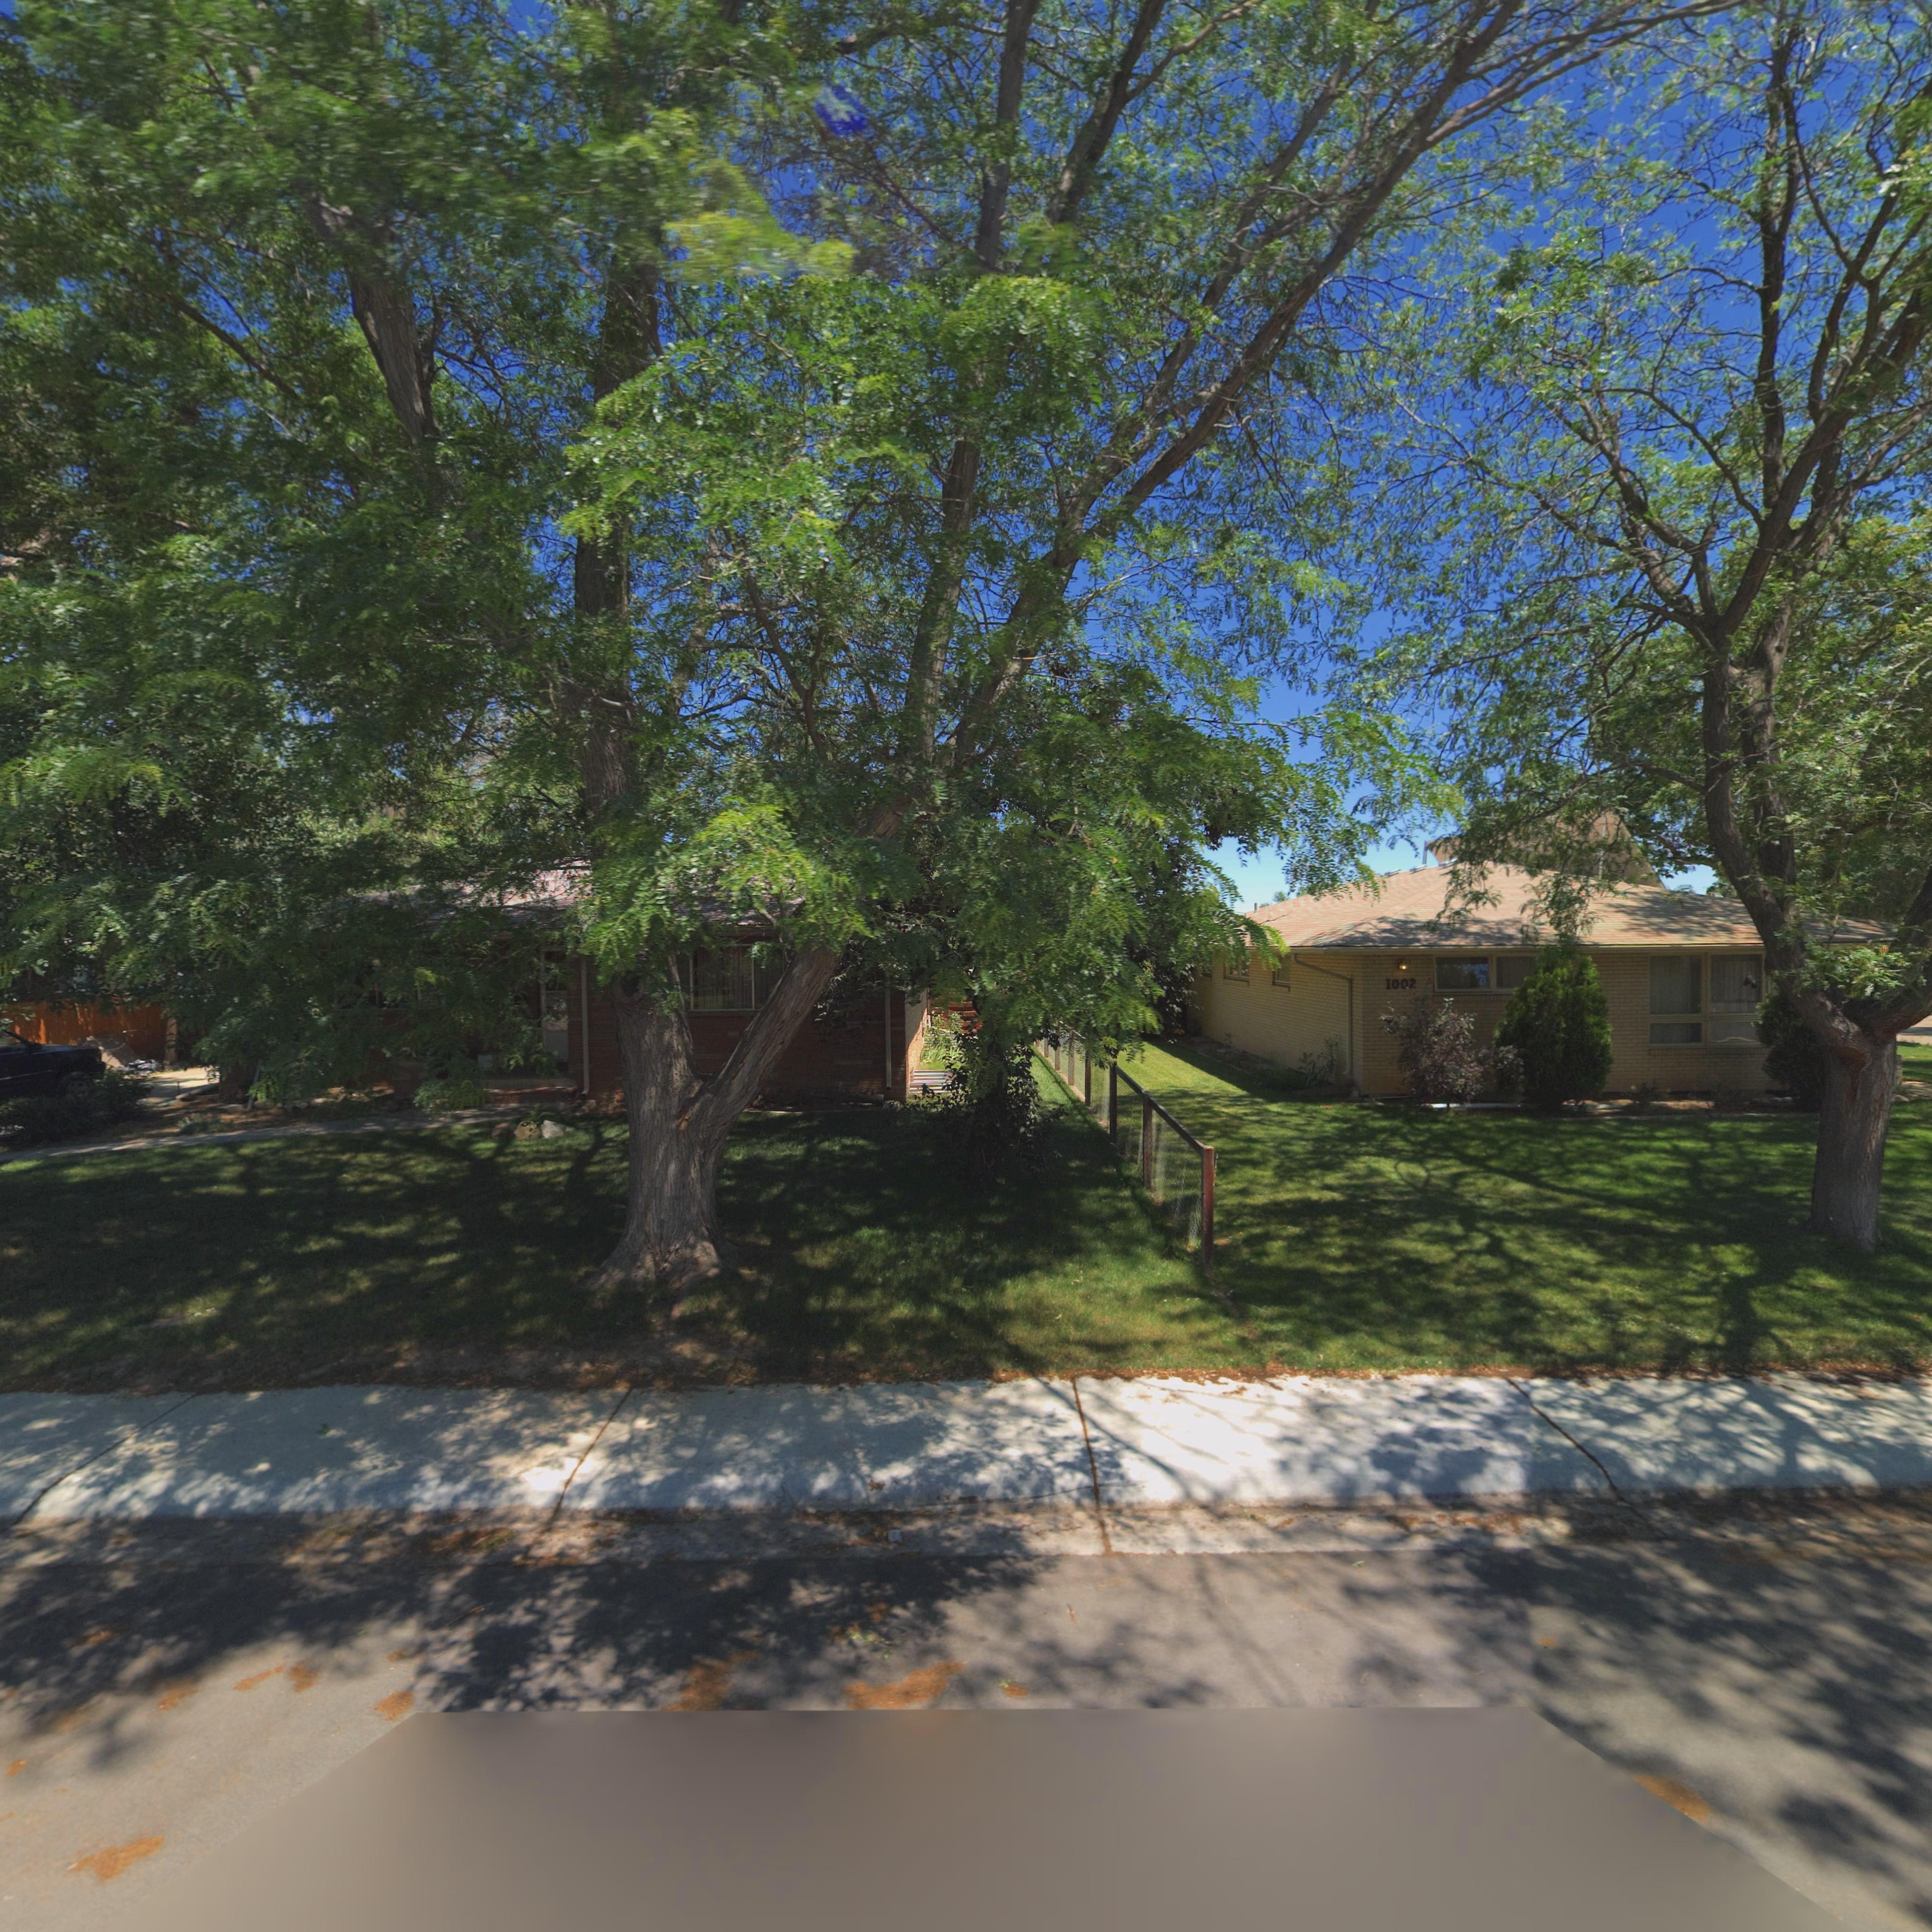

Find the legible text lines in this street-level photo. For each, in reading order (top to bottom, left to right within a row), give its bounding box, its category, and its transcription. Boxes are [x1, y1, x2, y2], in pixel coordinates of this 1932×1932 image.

[1385, 977, 1417, 990] StreetNumber: 1002